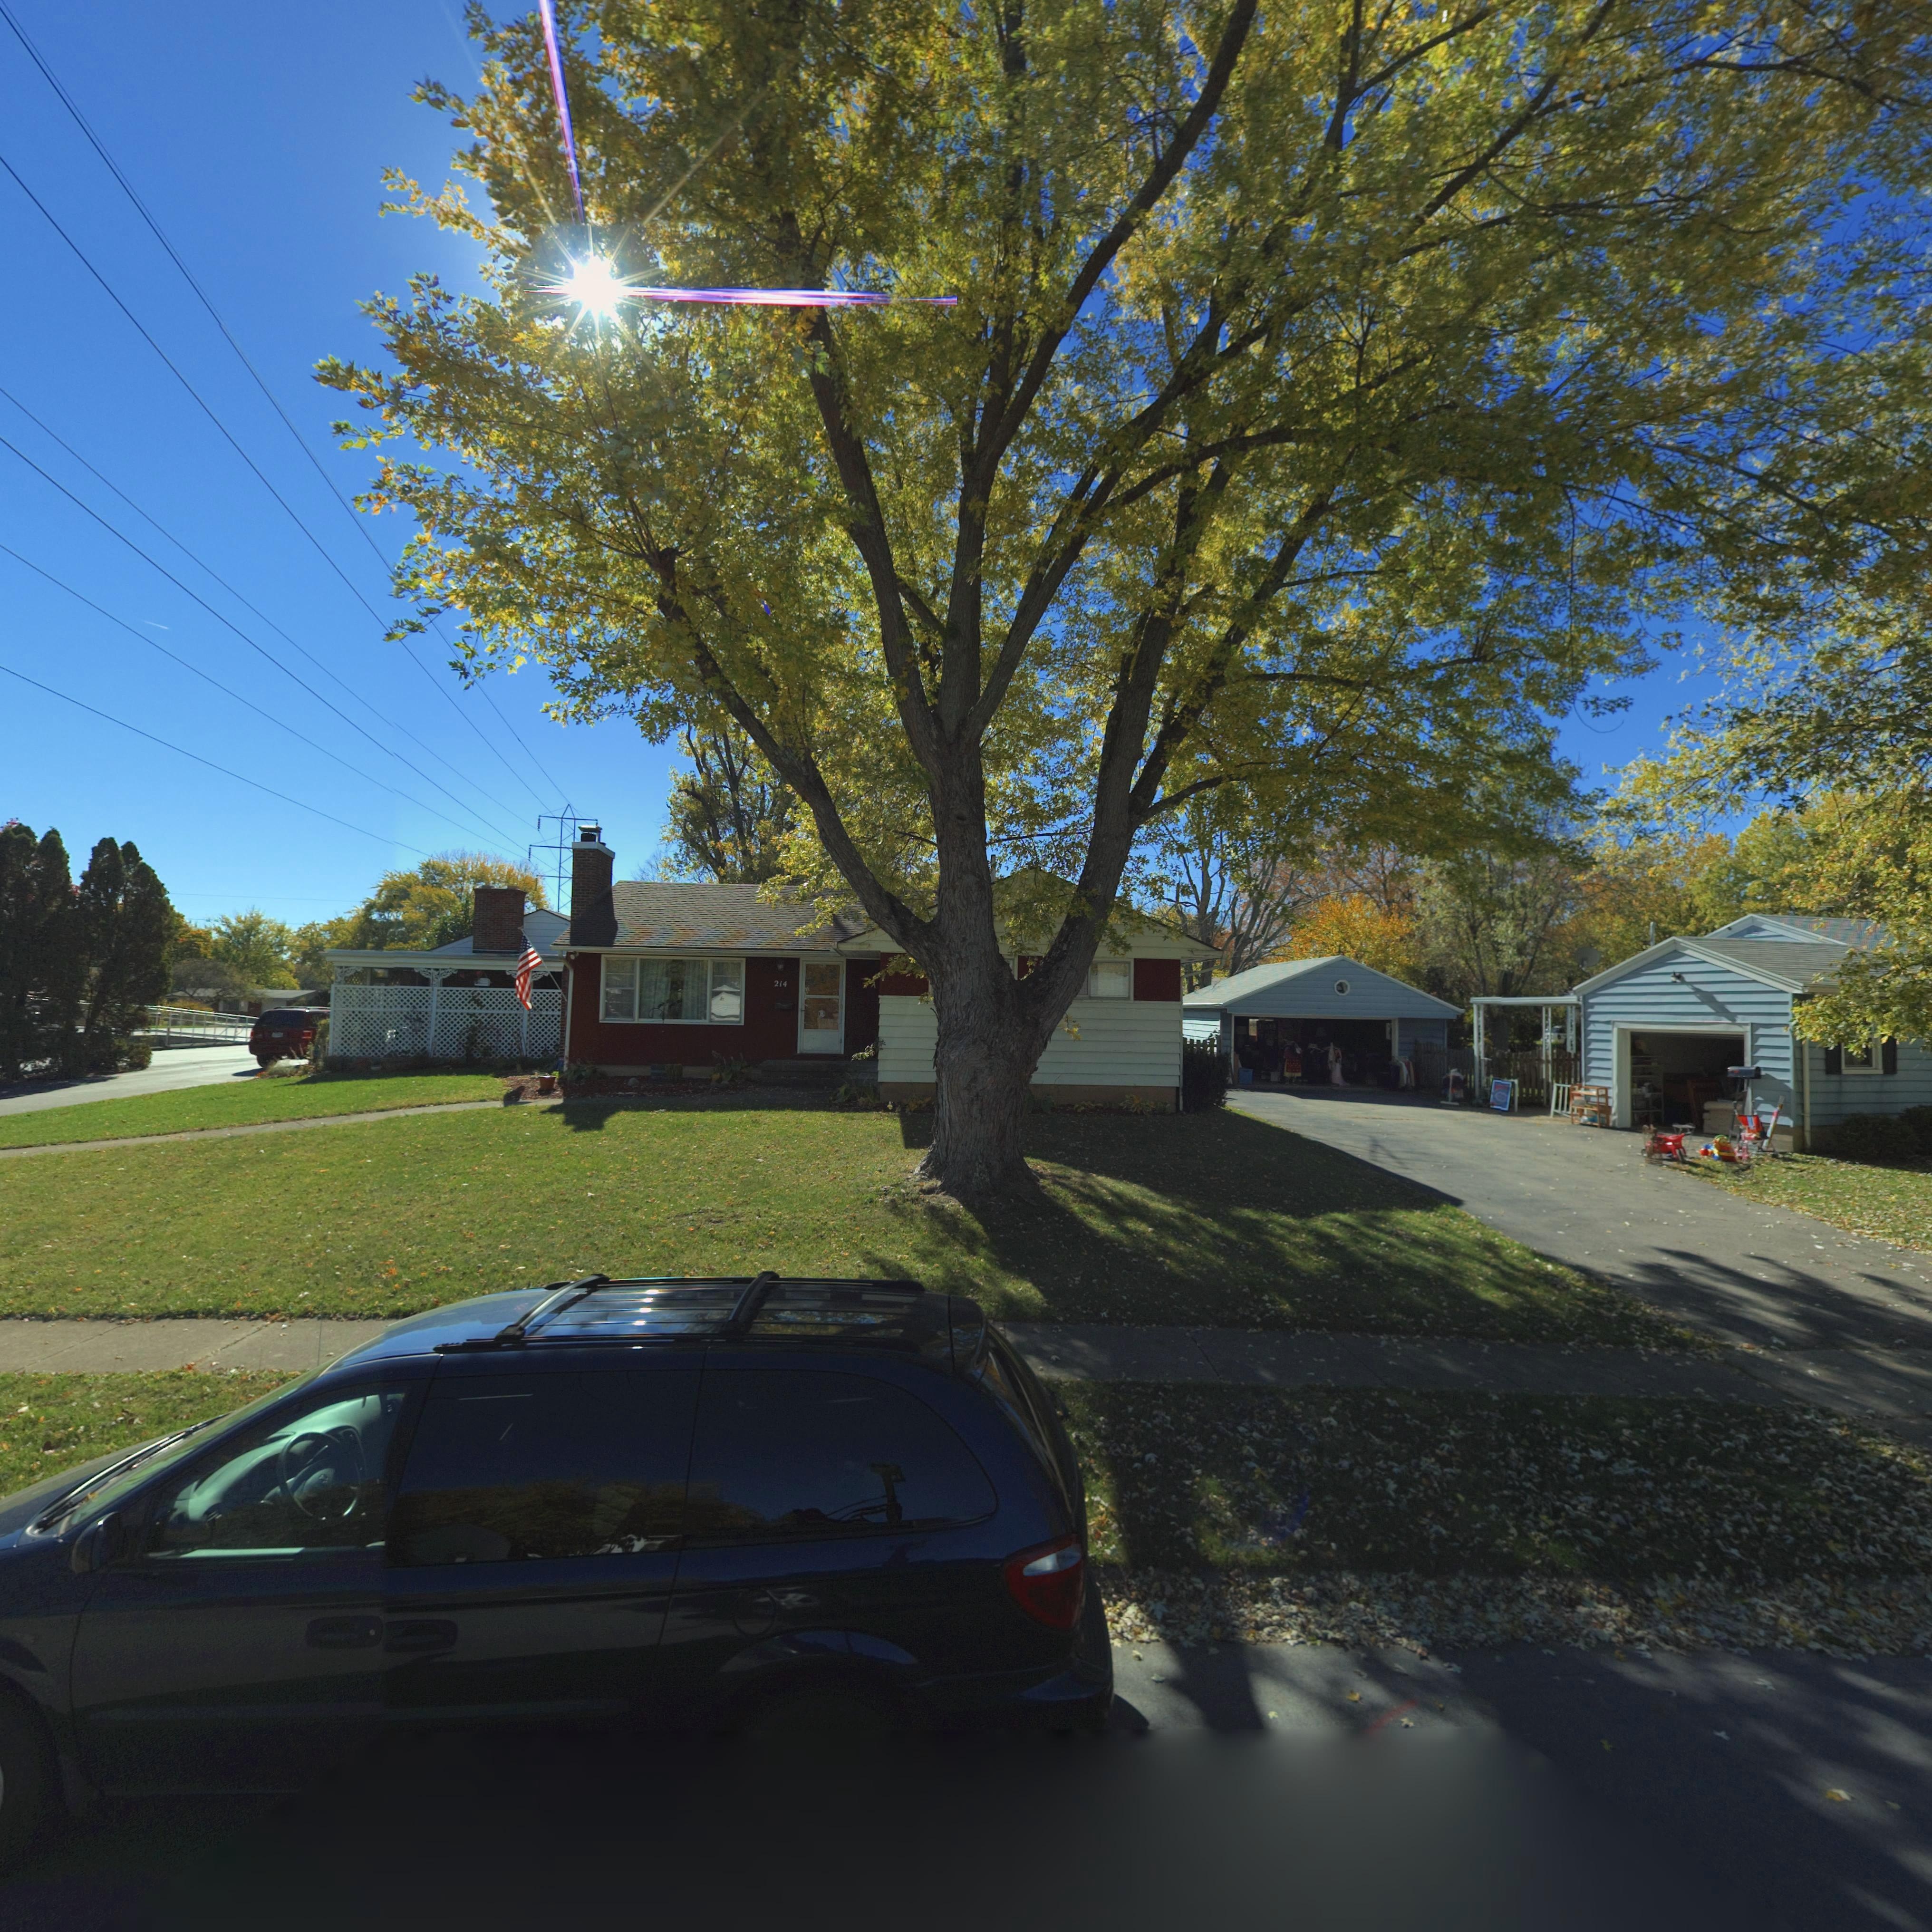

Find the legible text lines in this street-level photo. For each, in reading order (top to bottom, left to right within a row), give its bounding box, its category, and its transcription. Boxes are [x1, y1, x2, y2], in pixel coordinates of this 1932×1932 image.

[773, 980, 787, 987] StreetNumber: 214